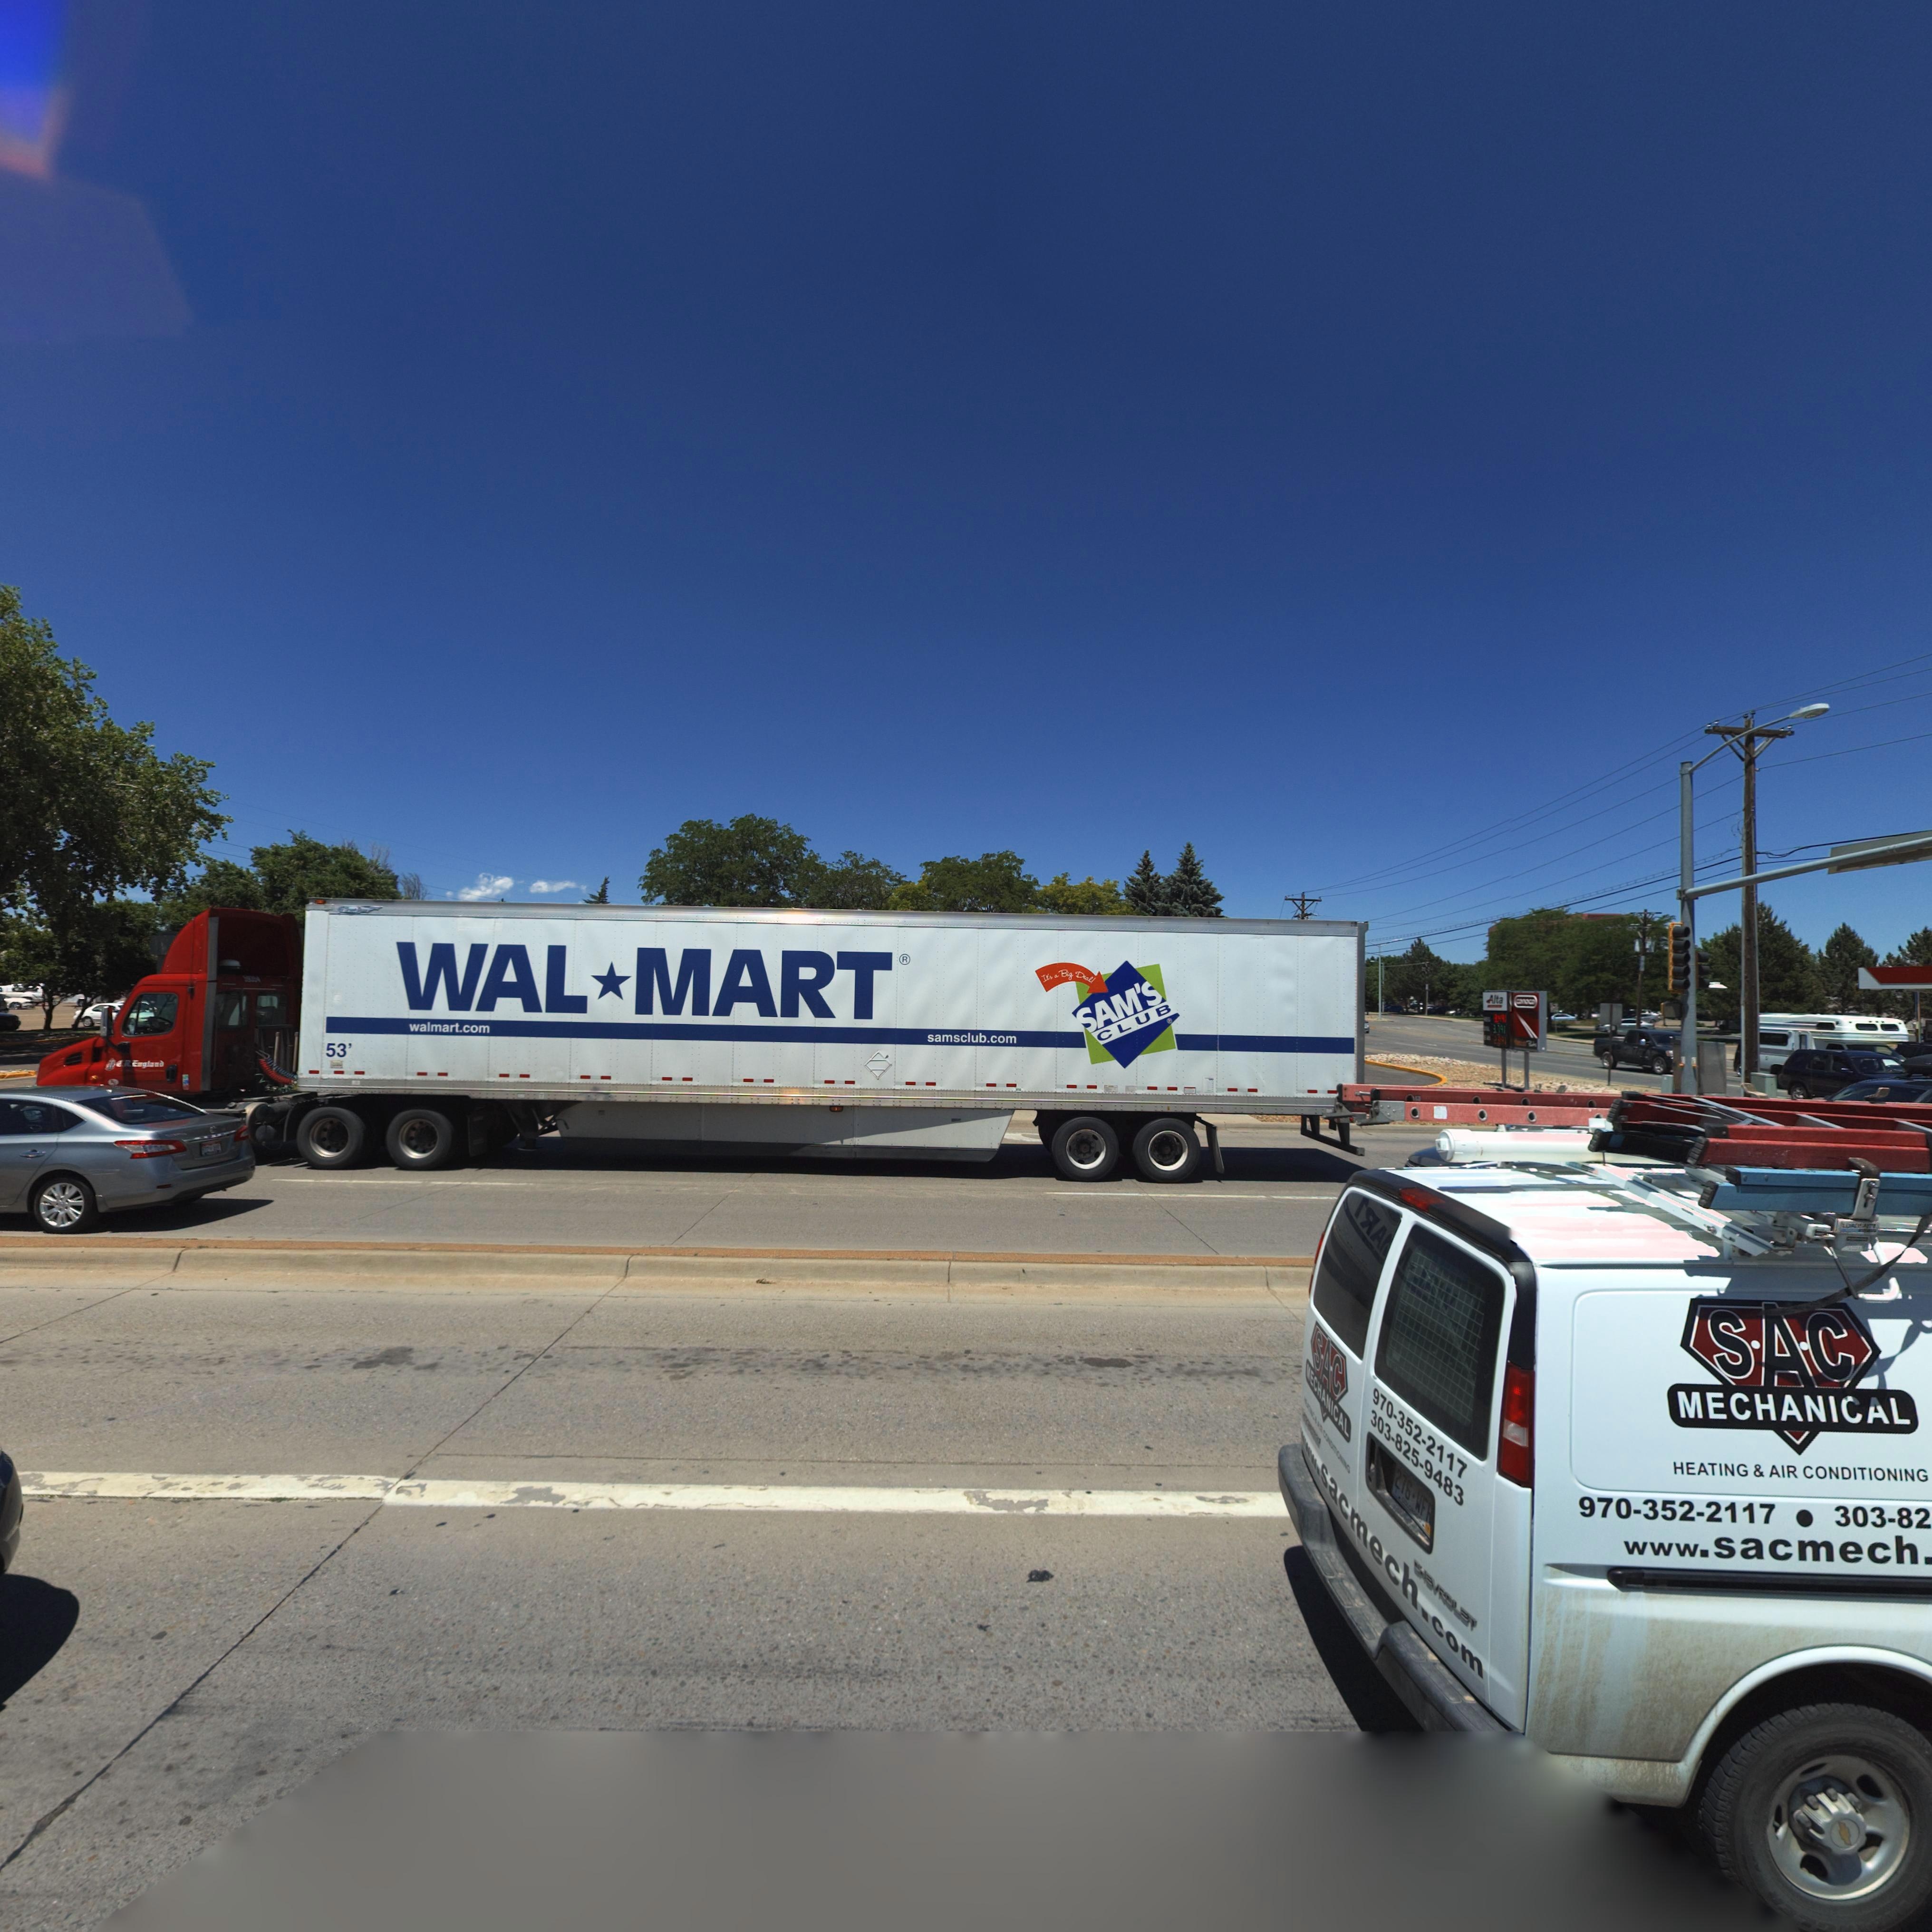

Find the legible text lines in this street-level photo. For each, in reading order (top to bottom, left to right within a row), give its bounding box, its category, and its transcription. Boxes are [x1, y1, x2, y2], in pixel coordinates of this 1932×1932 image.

[1488, 994, 1503, 1004] BusinessName: Alta
[1516, 999, 1536, 1005] BusinessName: c**oco